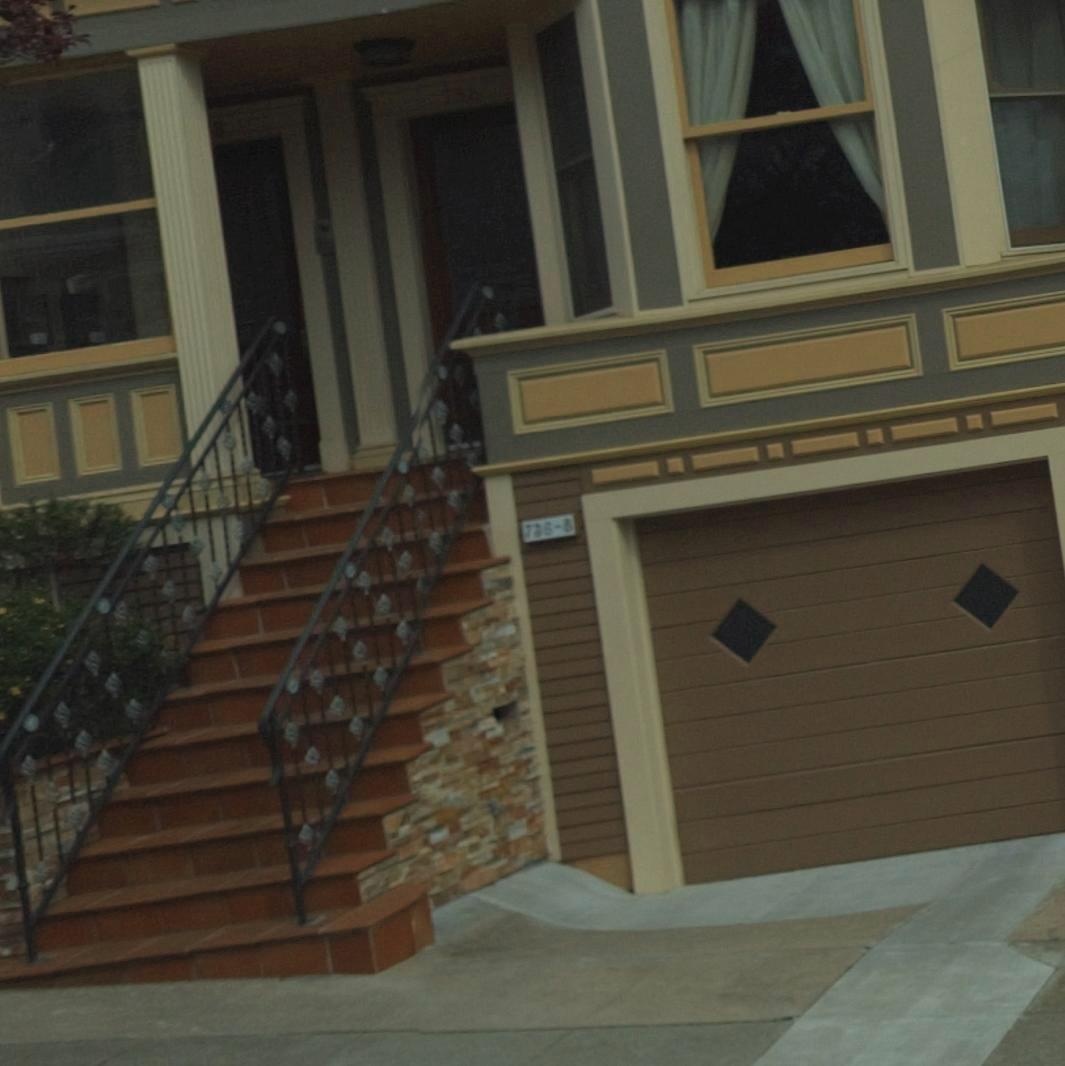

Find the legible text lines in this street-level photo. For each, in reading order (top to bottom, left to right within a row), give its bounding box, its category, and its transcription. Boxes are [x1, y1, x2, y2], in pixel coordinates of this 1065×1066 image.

[439, 83, 481, 105] StreetNumber: 736
[523, 516, 575, 541] StreetNumber: 736-8